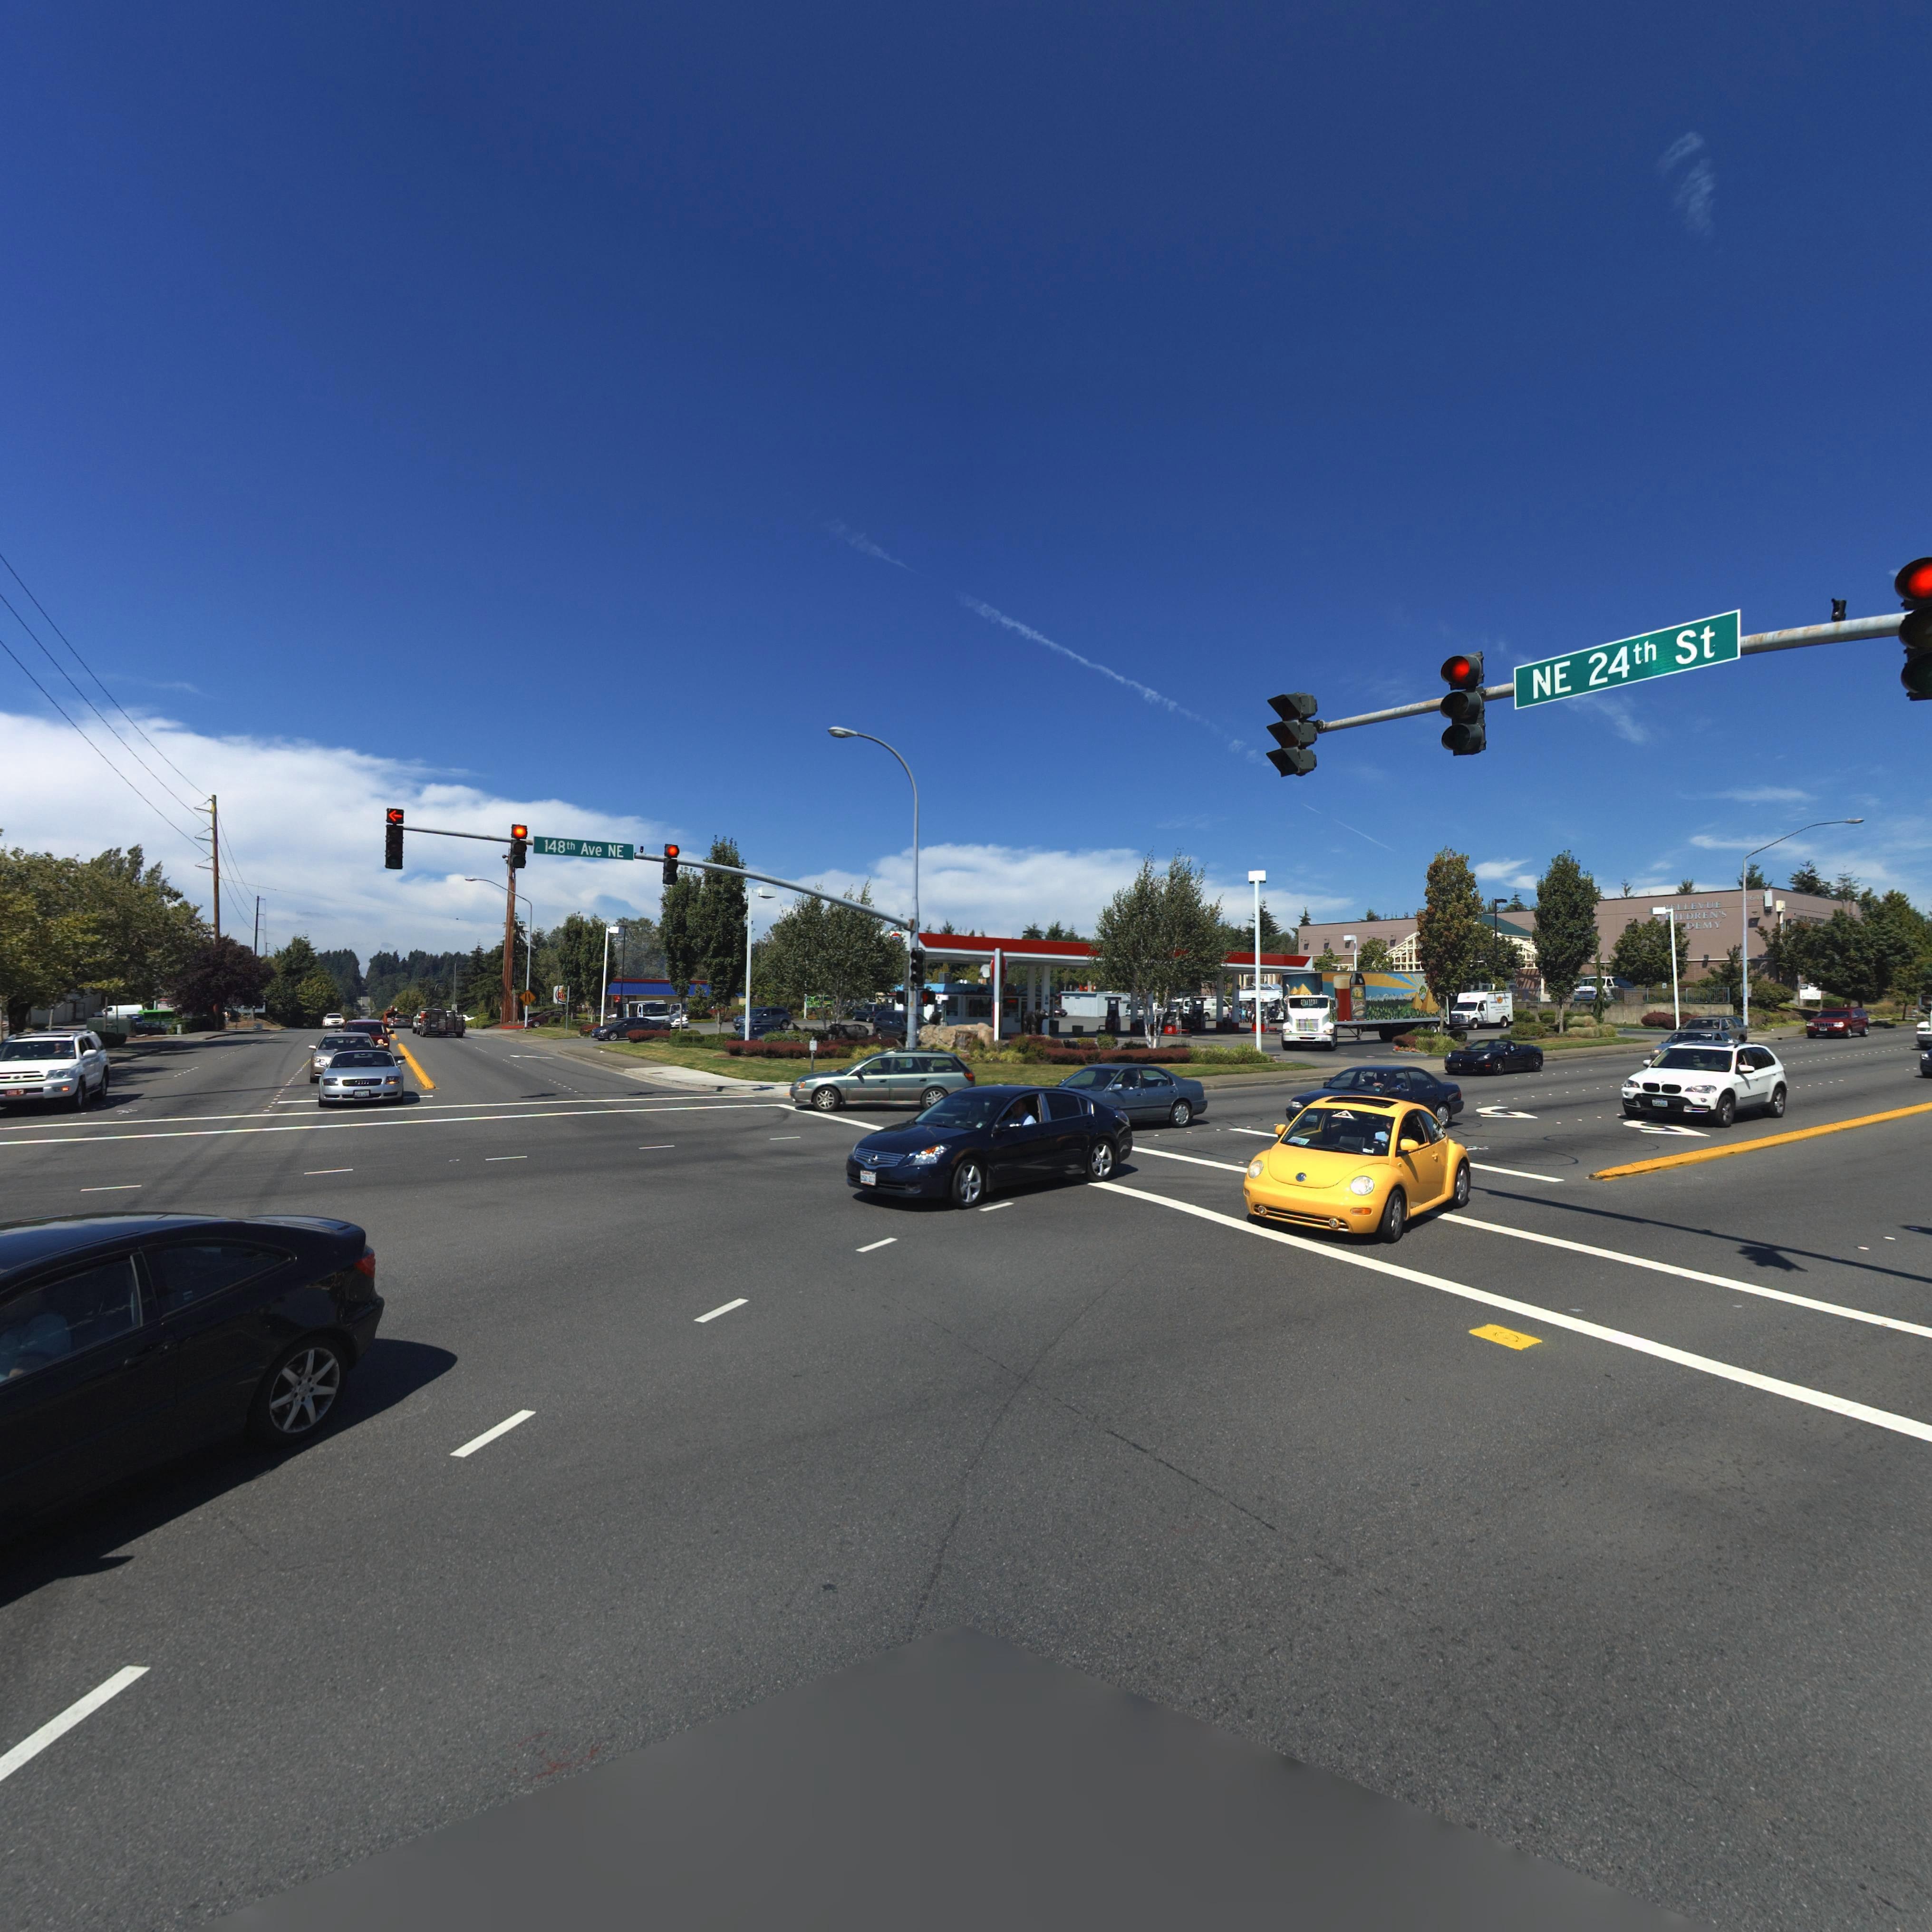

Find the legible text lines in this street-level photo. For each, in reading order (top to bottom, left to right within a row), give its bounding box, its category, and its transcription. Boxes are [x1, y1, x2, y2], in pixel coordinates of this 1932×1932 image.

[1527, 625, 1720, 699] StreetName: NE 24th St
[544, 839, 626, 858] StreetName: 148th Ave NE
[1686, 920, 1725, 930] None: DEMY